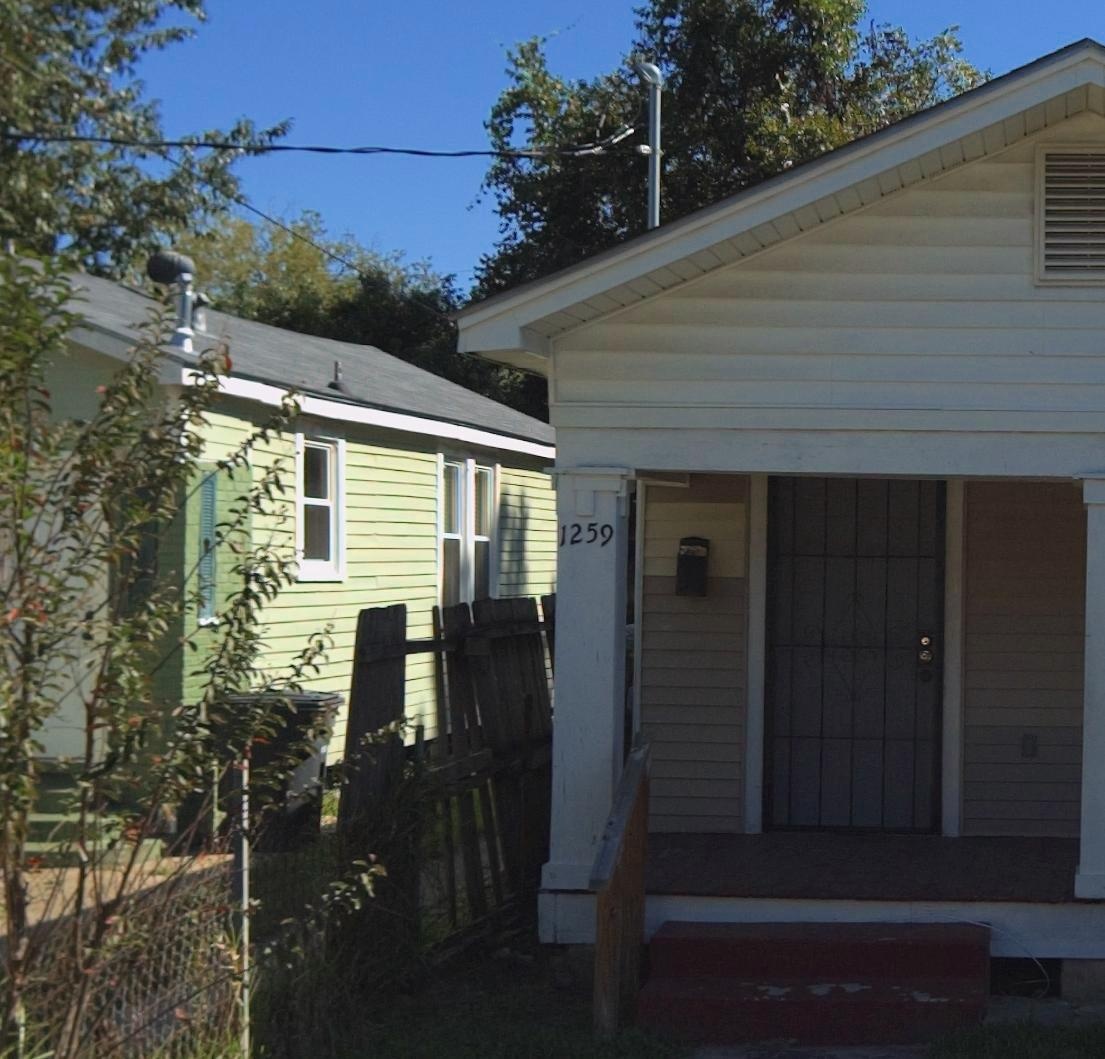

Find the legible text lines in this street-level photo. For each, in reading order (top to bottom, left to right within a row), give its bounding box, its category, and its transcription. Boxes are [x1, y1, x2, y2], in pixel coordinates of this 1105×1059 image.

[558, 520, 617, 549] StreetNumber: 1259